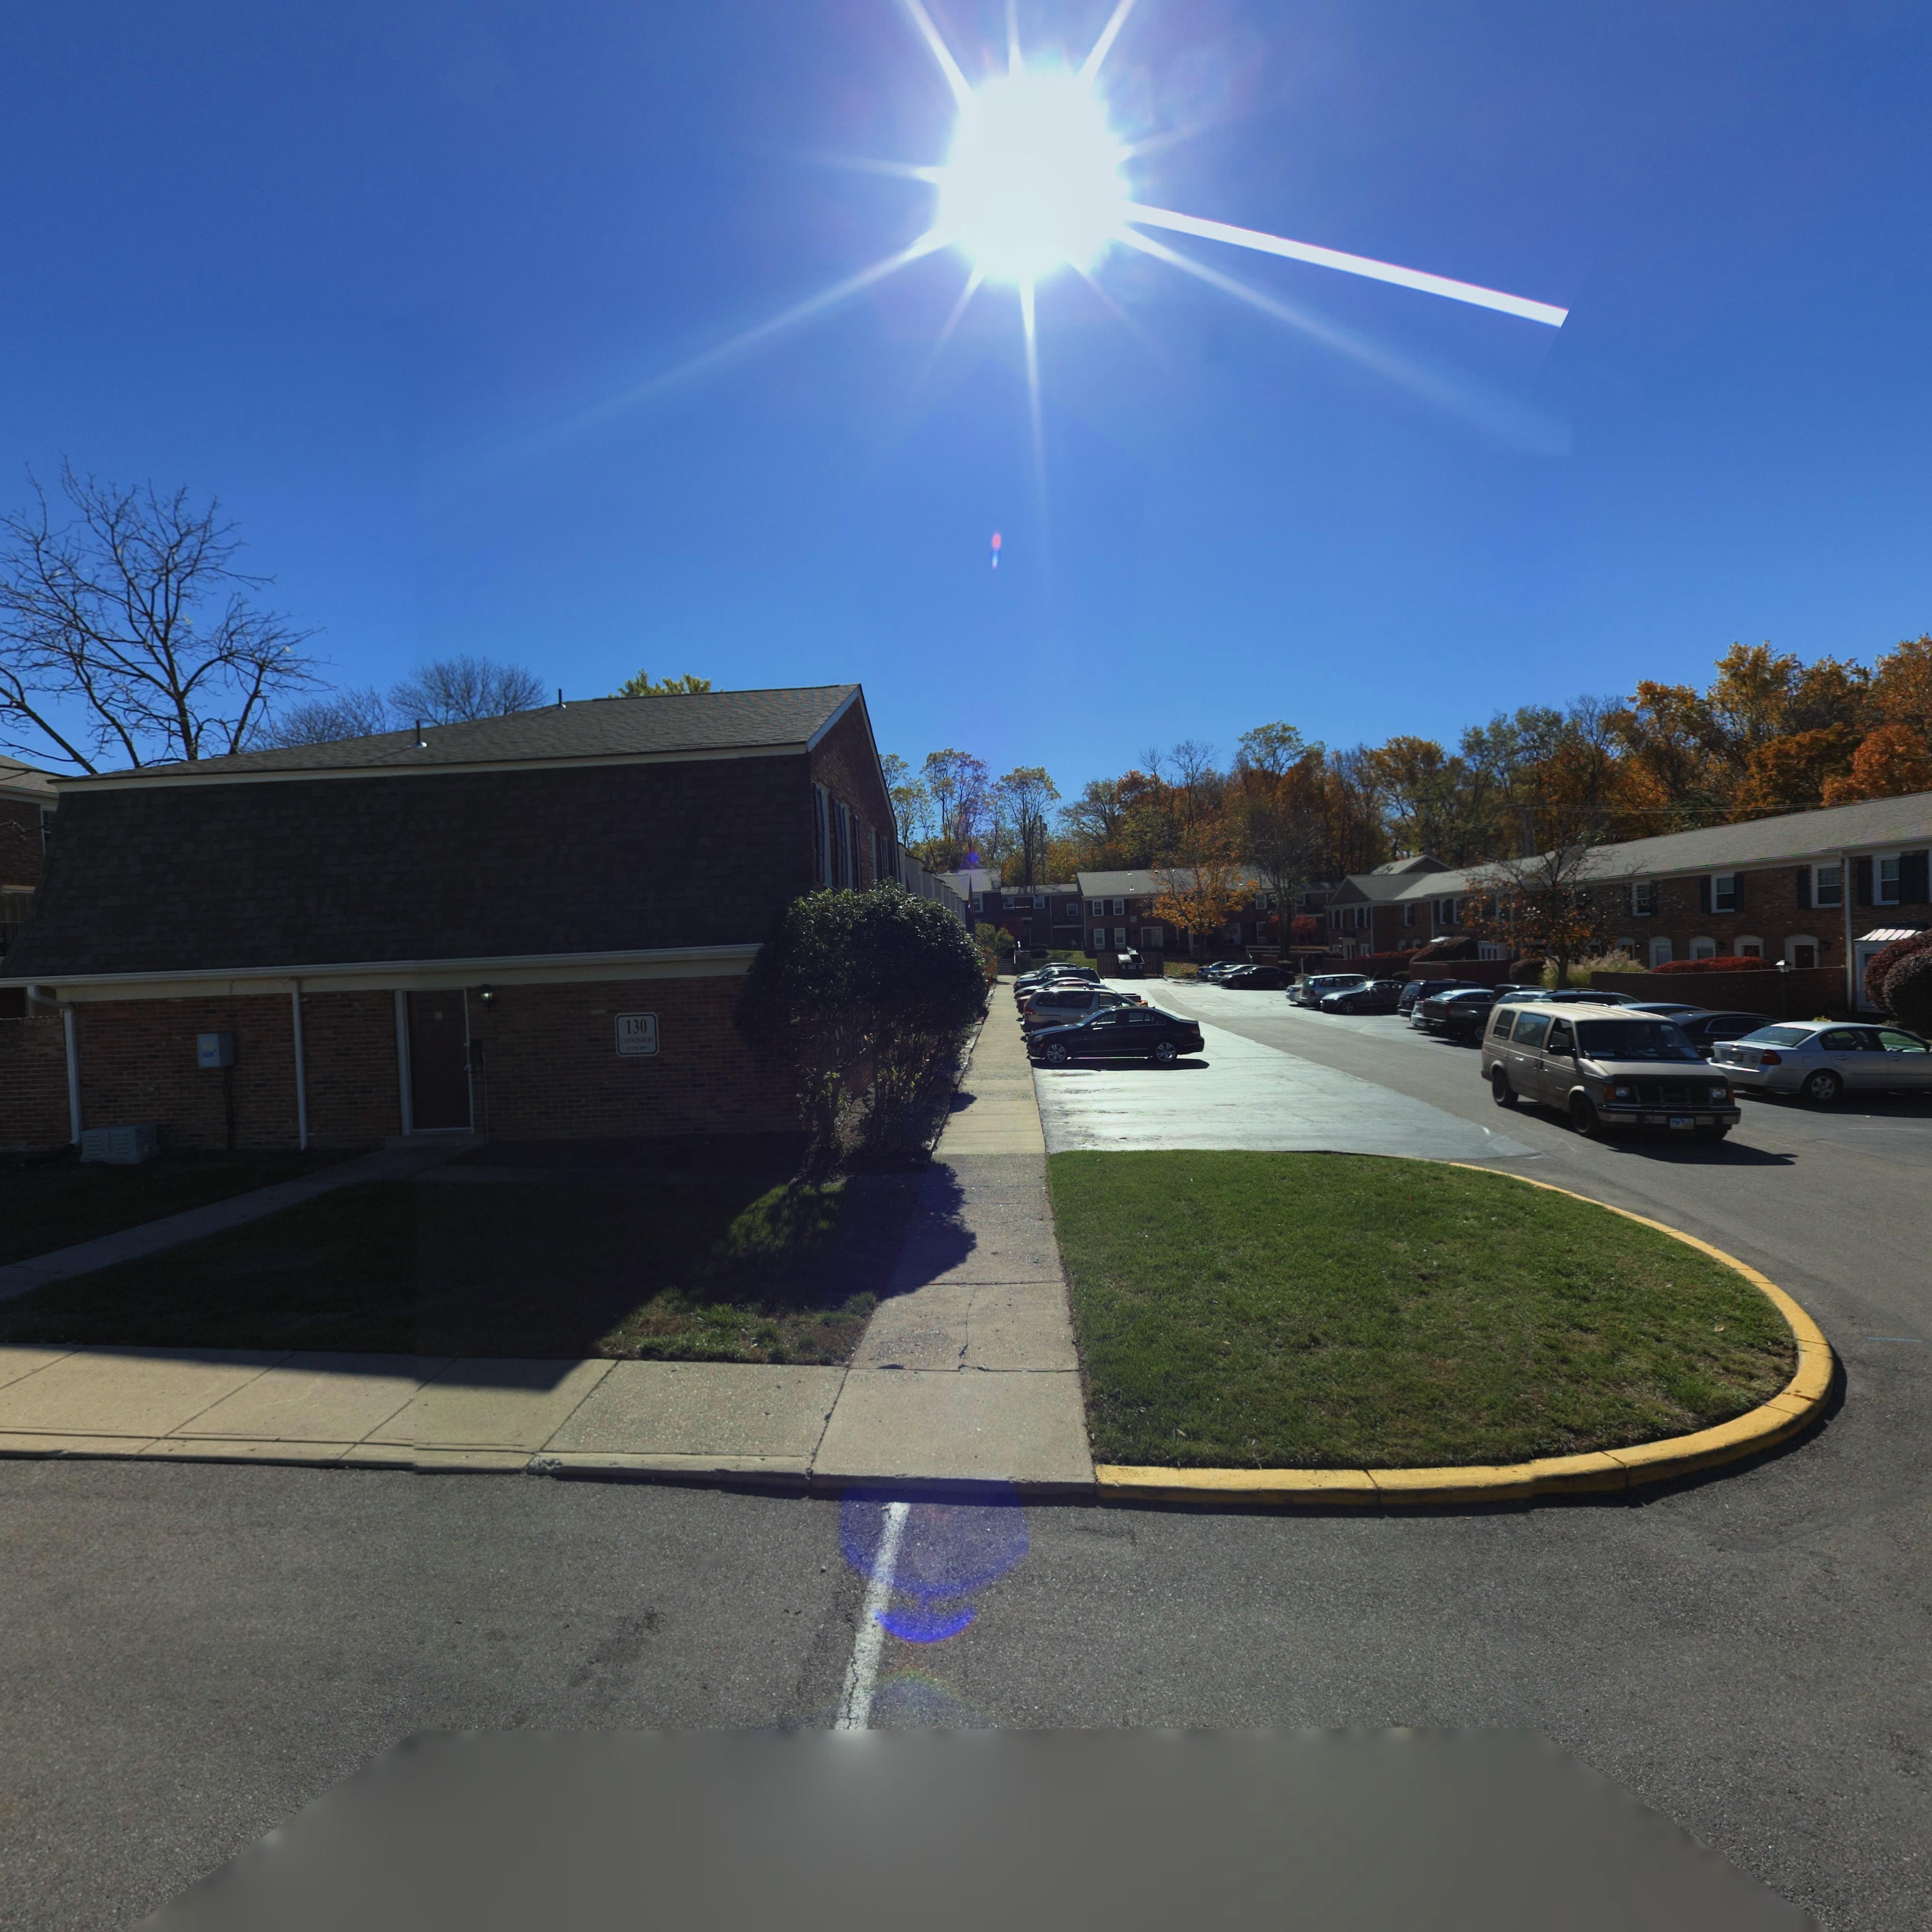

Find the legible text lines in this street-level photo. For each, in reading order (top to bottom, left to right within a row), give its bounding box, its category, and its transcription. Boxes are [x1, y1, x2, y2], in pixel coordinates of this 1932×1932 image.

[625, 1018, 647, 1035] StreetNumber: 130